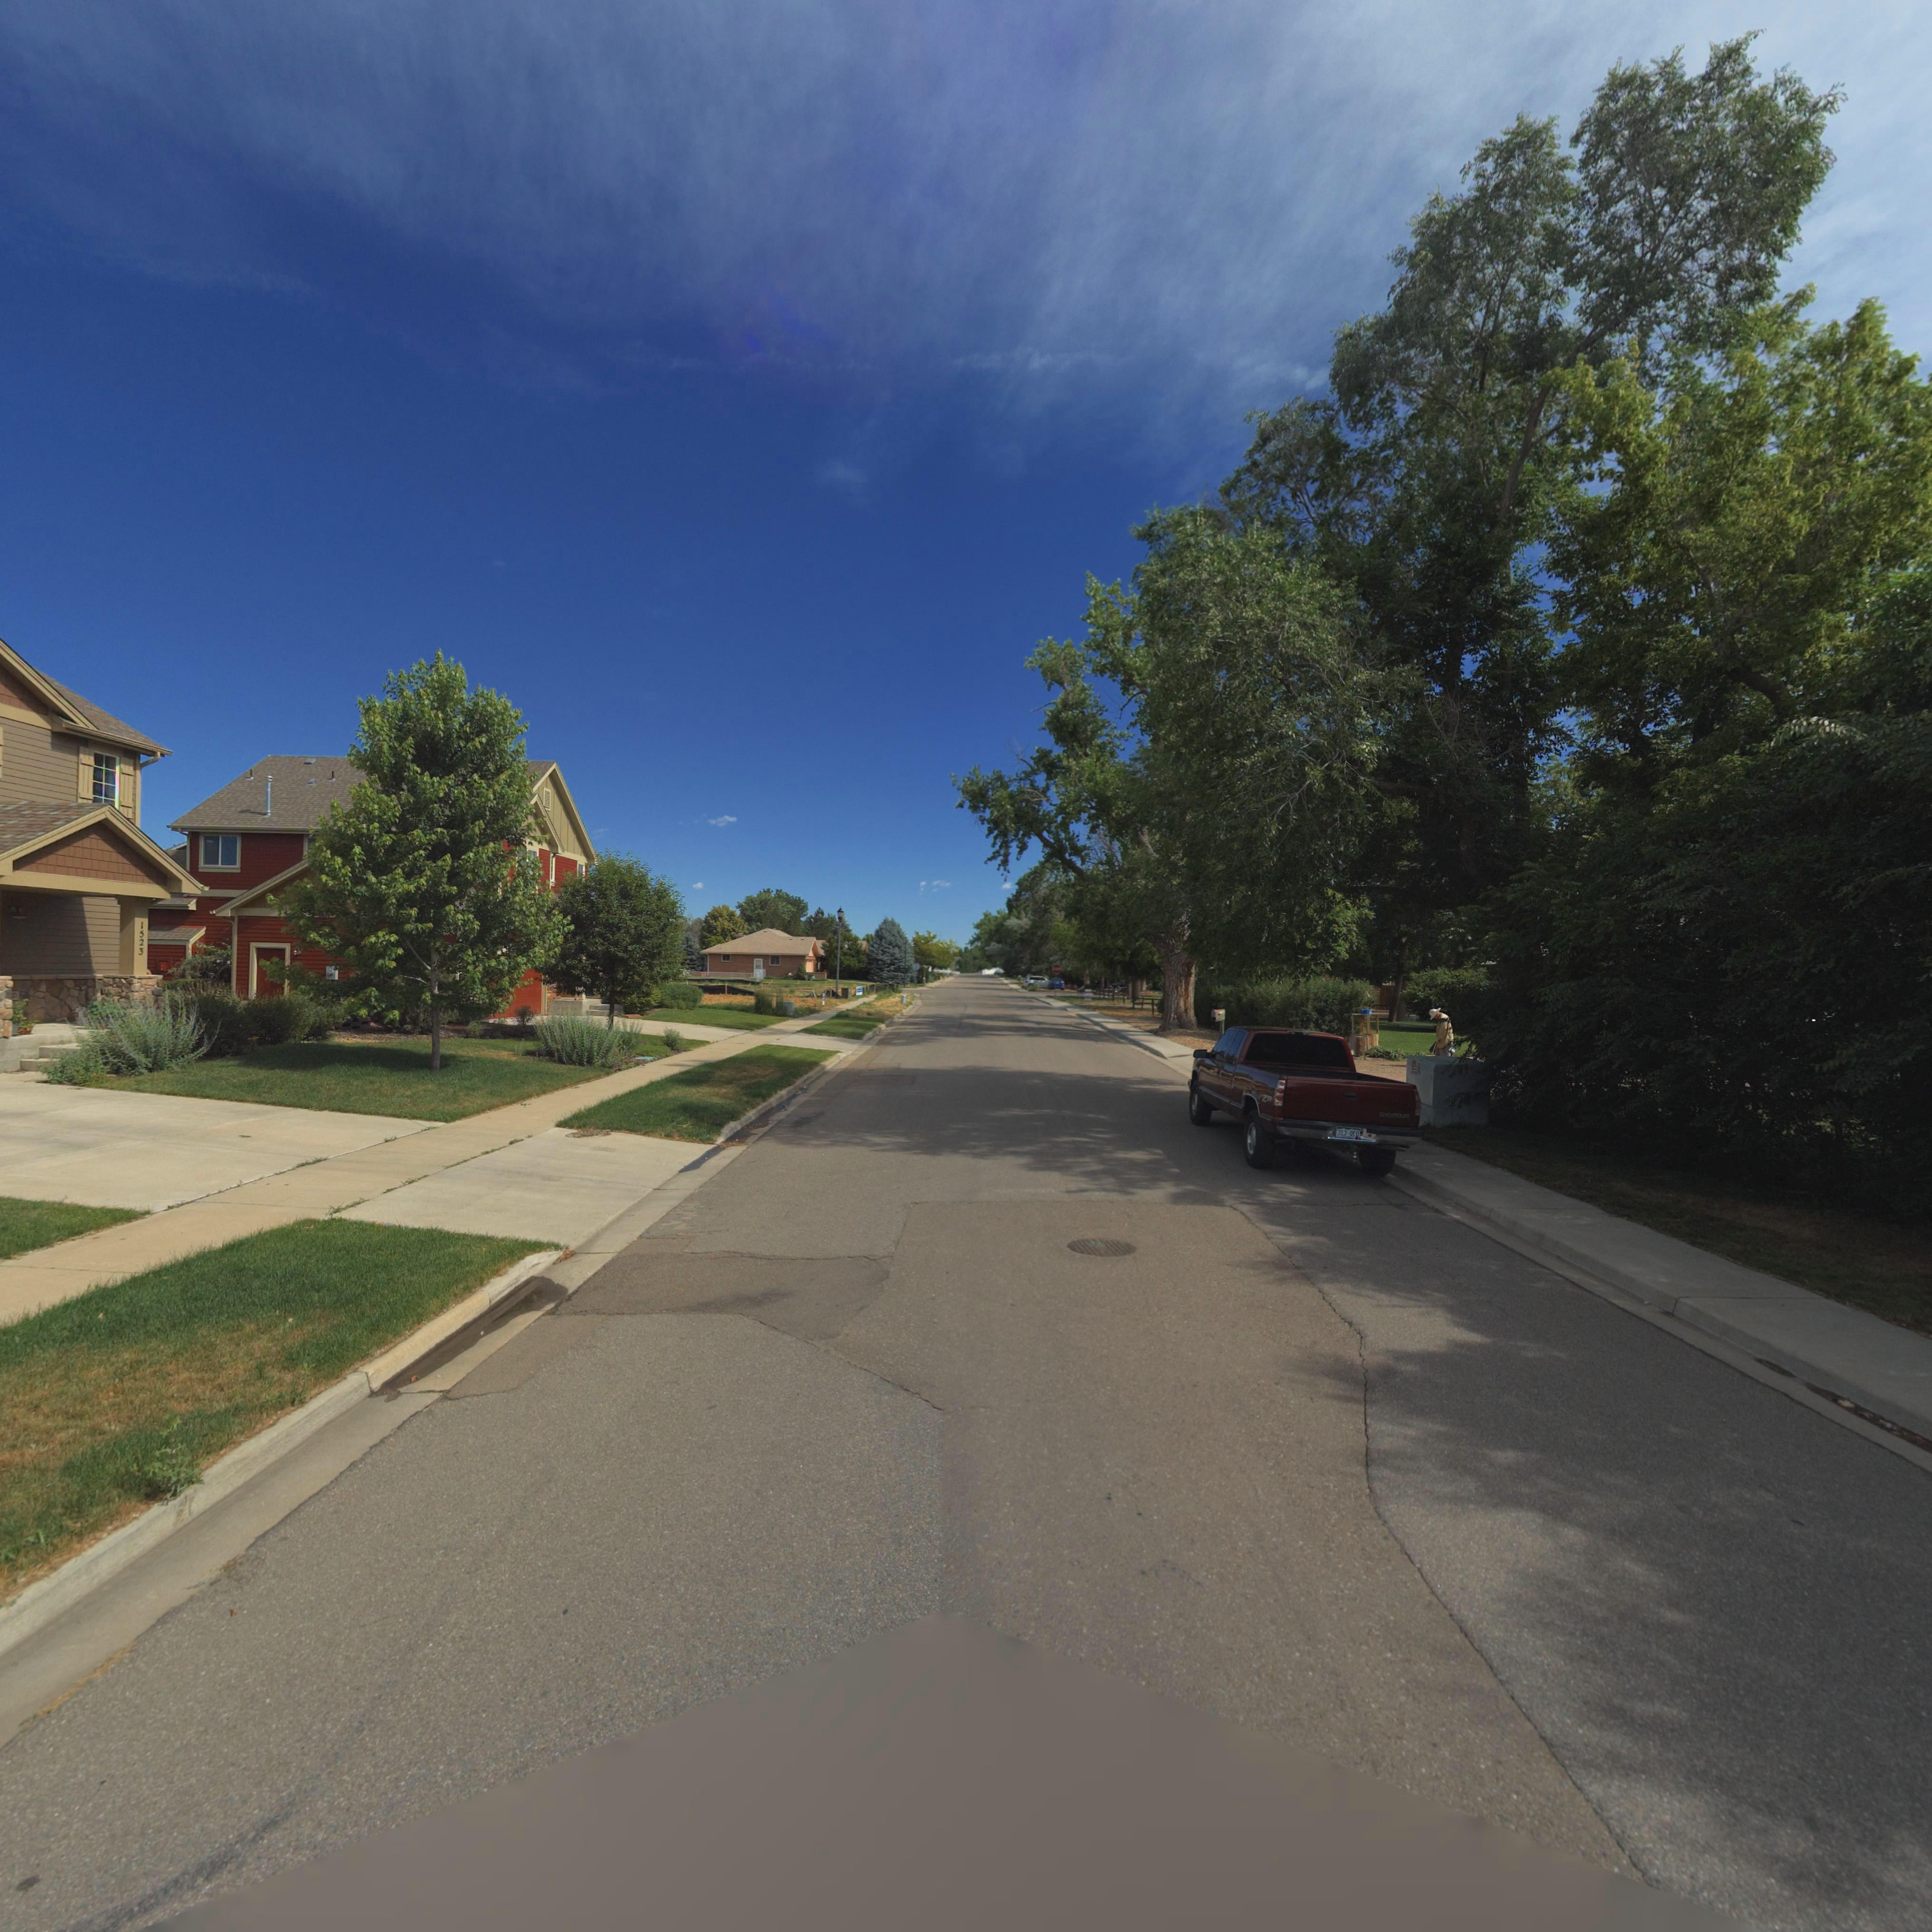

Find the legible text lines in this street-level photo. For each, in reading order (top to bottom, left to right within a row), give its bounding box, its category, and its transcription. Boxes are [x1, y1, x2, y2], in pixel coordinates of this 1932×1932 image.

[138, 920, 144, 955] StreetNumber: 1523